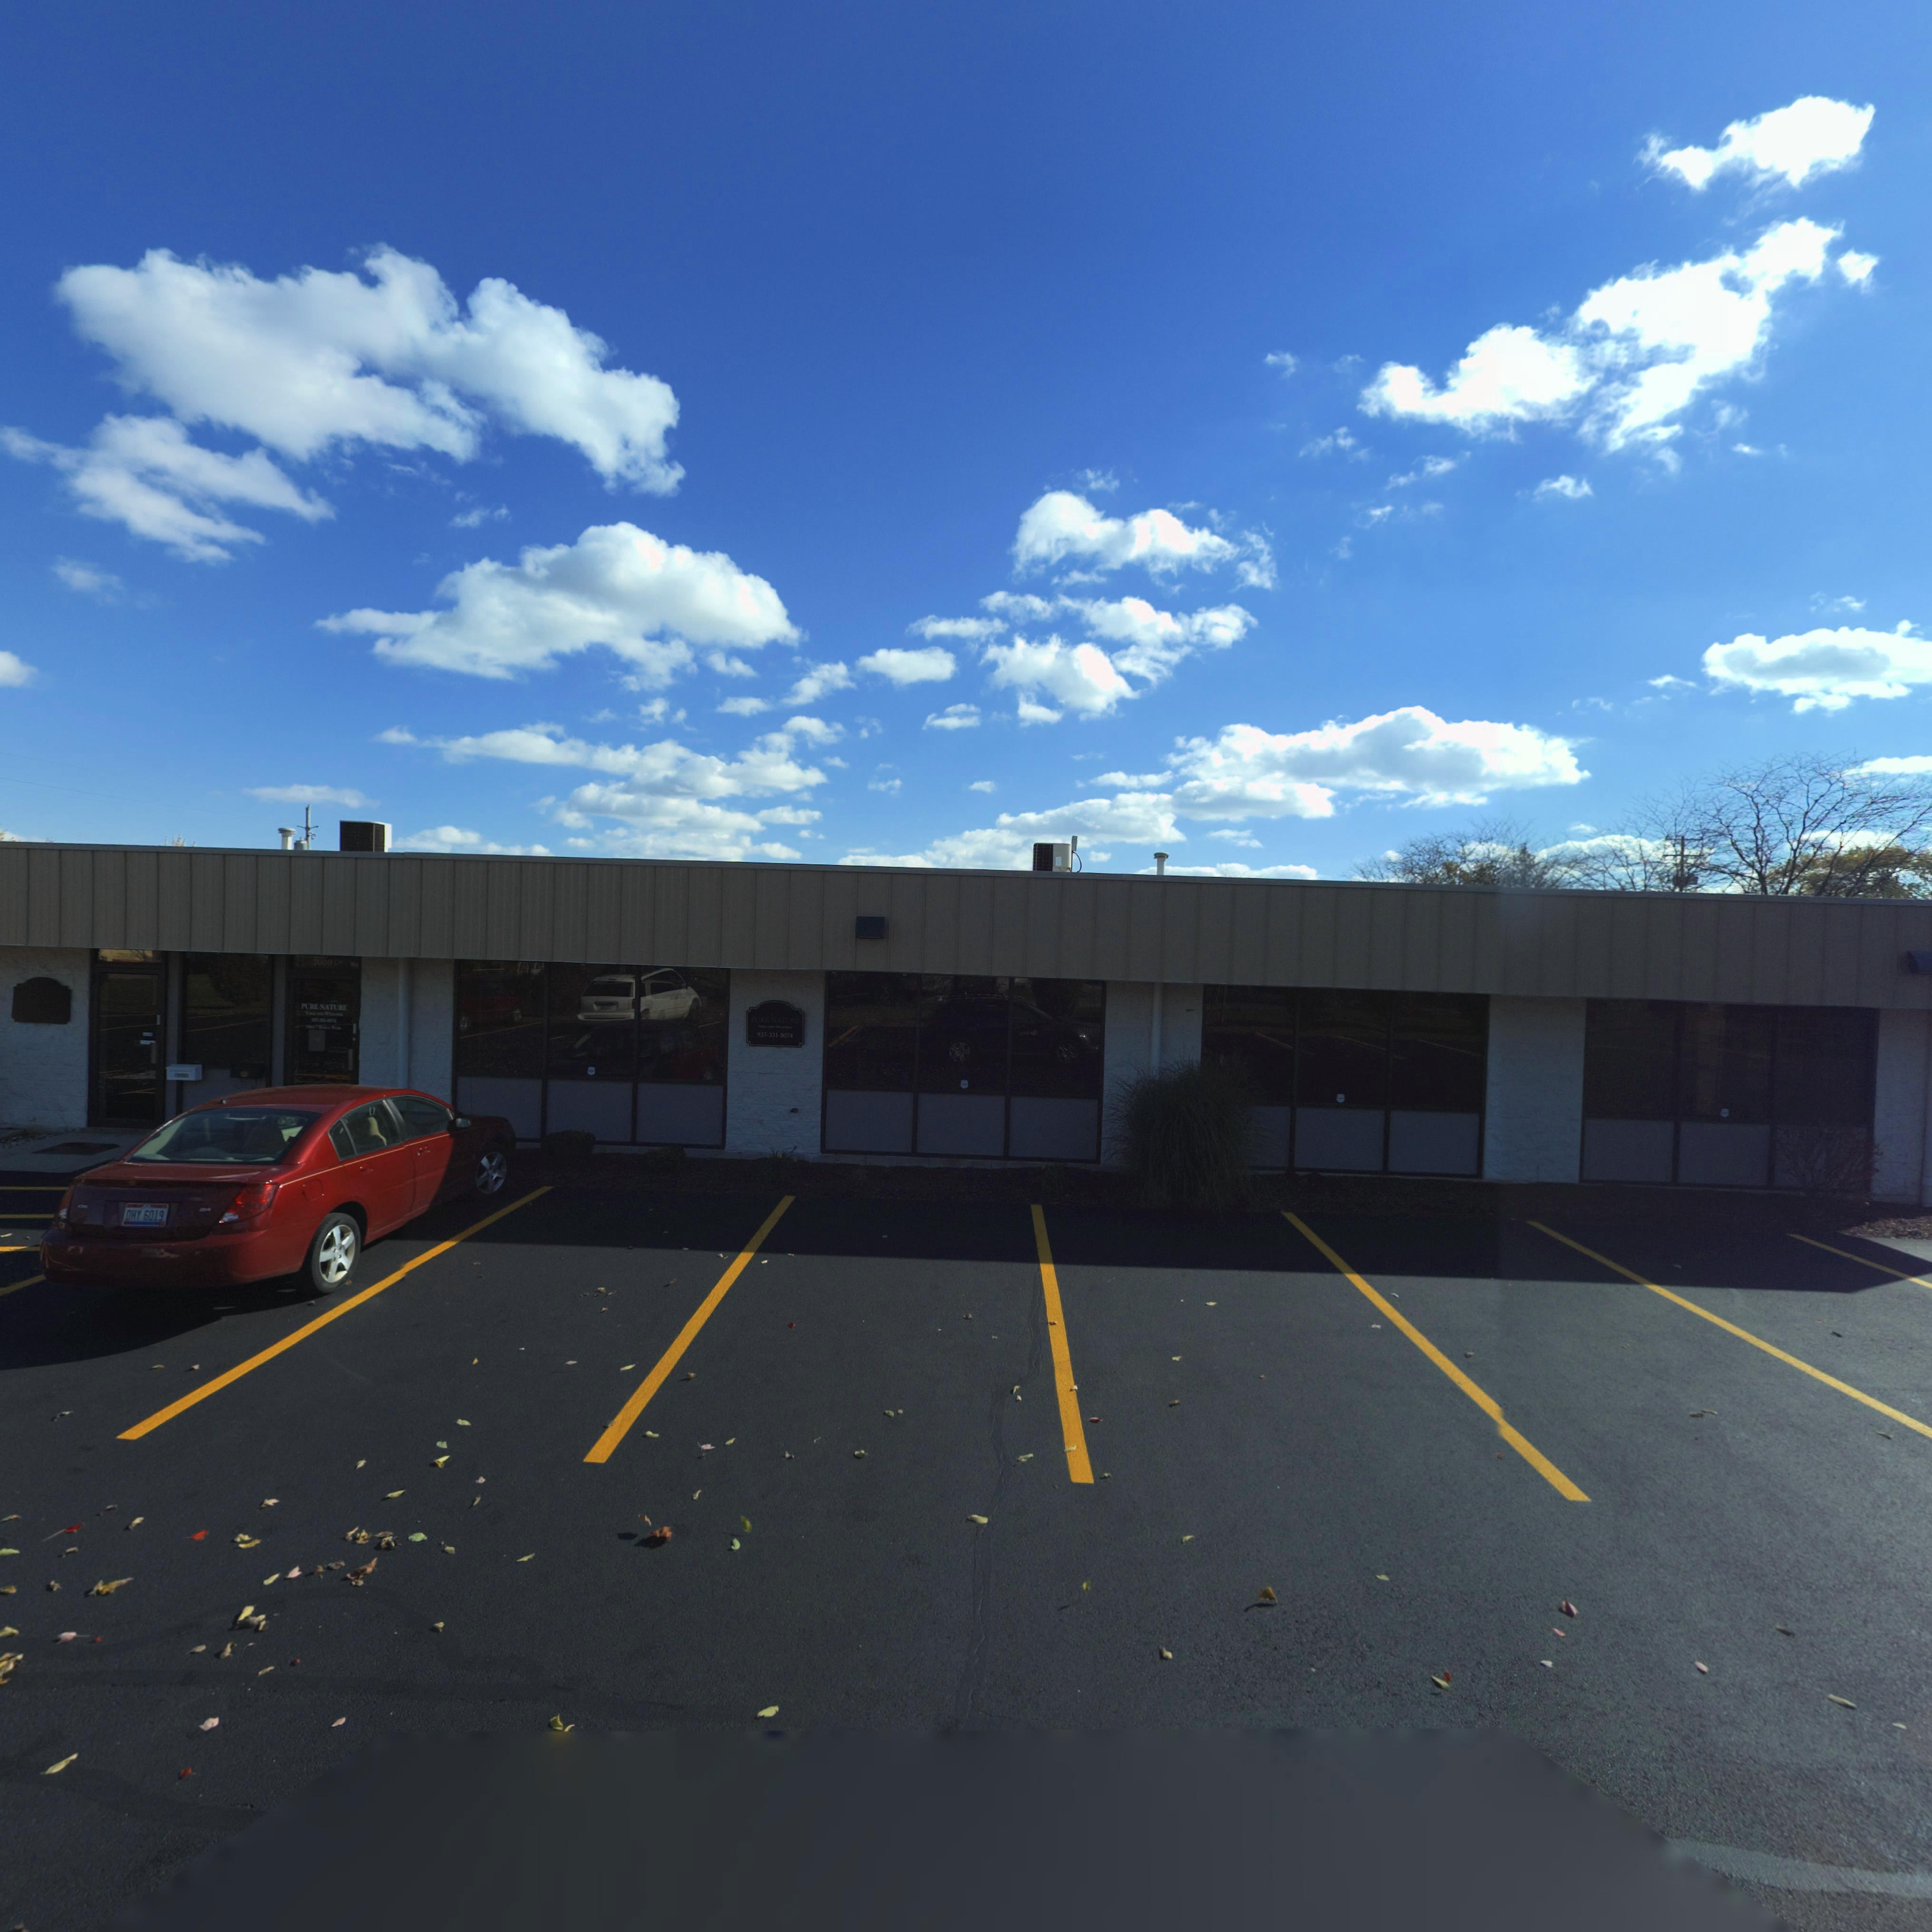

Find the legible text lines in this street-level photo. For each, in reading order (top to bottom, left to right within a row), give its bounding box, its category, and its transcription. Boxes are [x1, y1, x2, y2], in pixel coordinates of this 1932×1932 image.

[313, 958, 339, 967] StreetNumber: *009 *